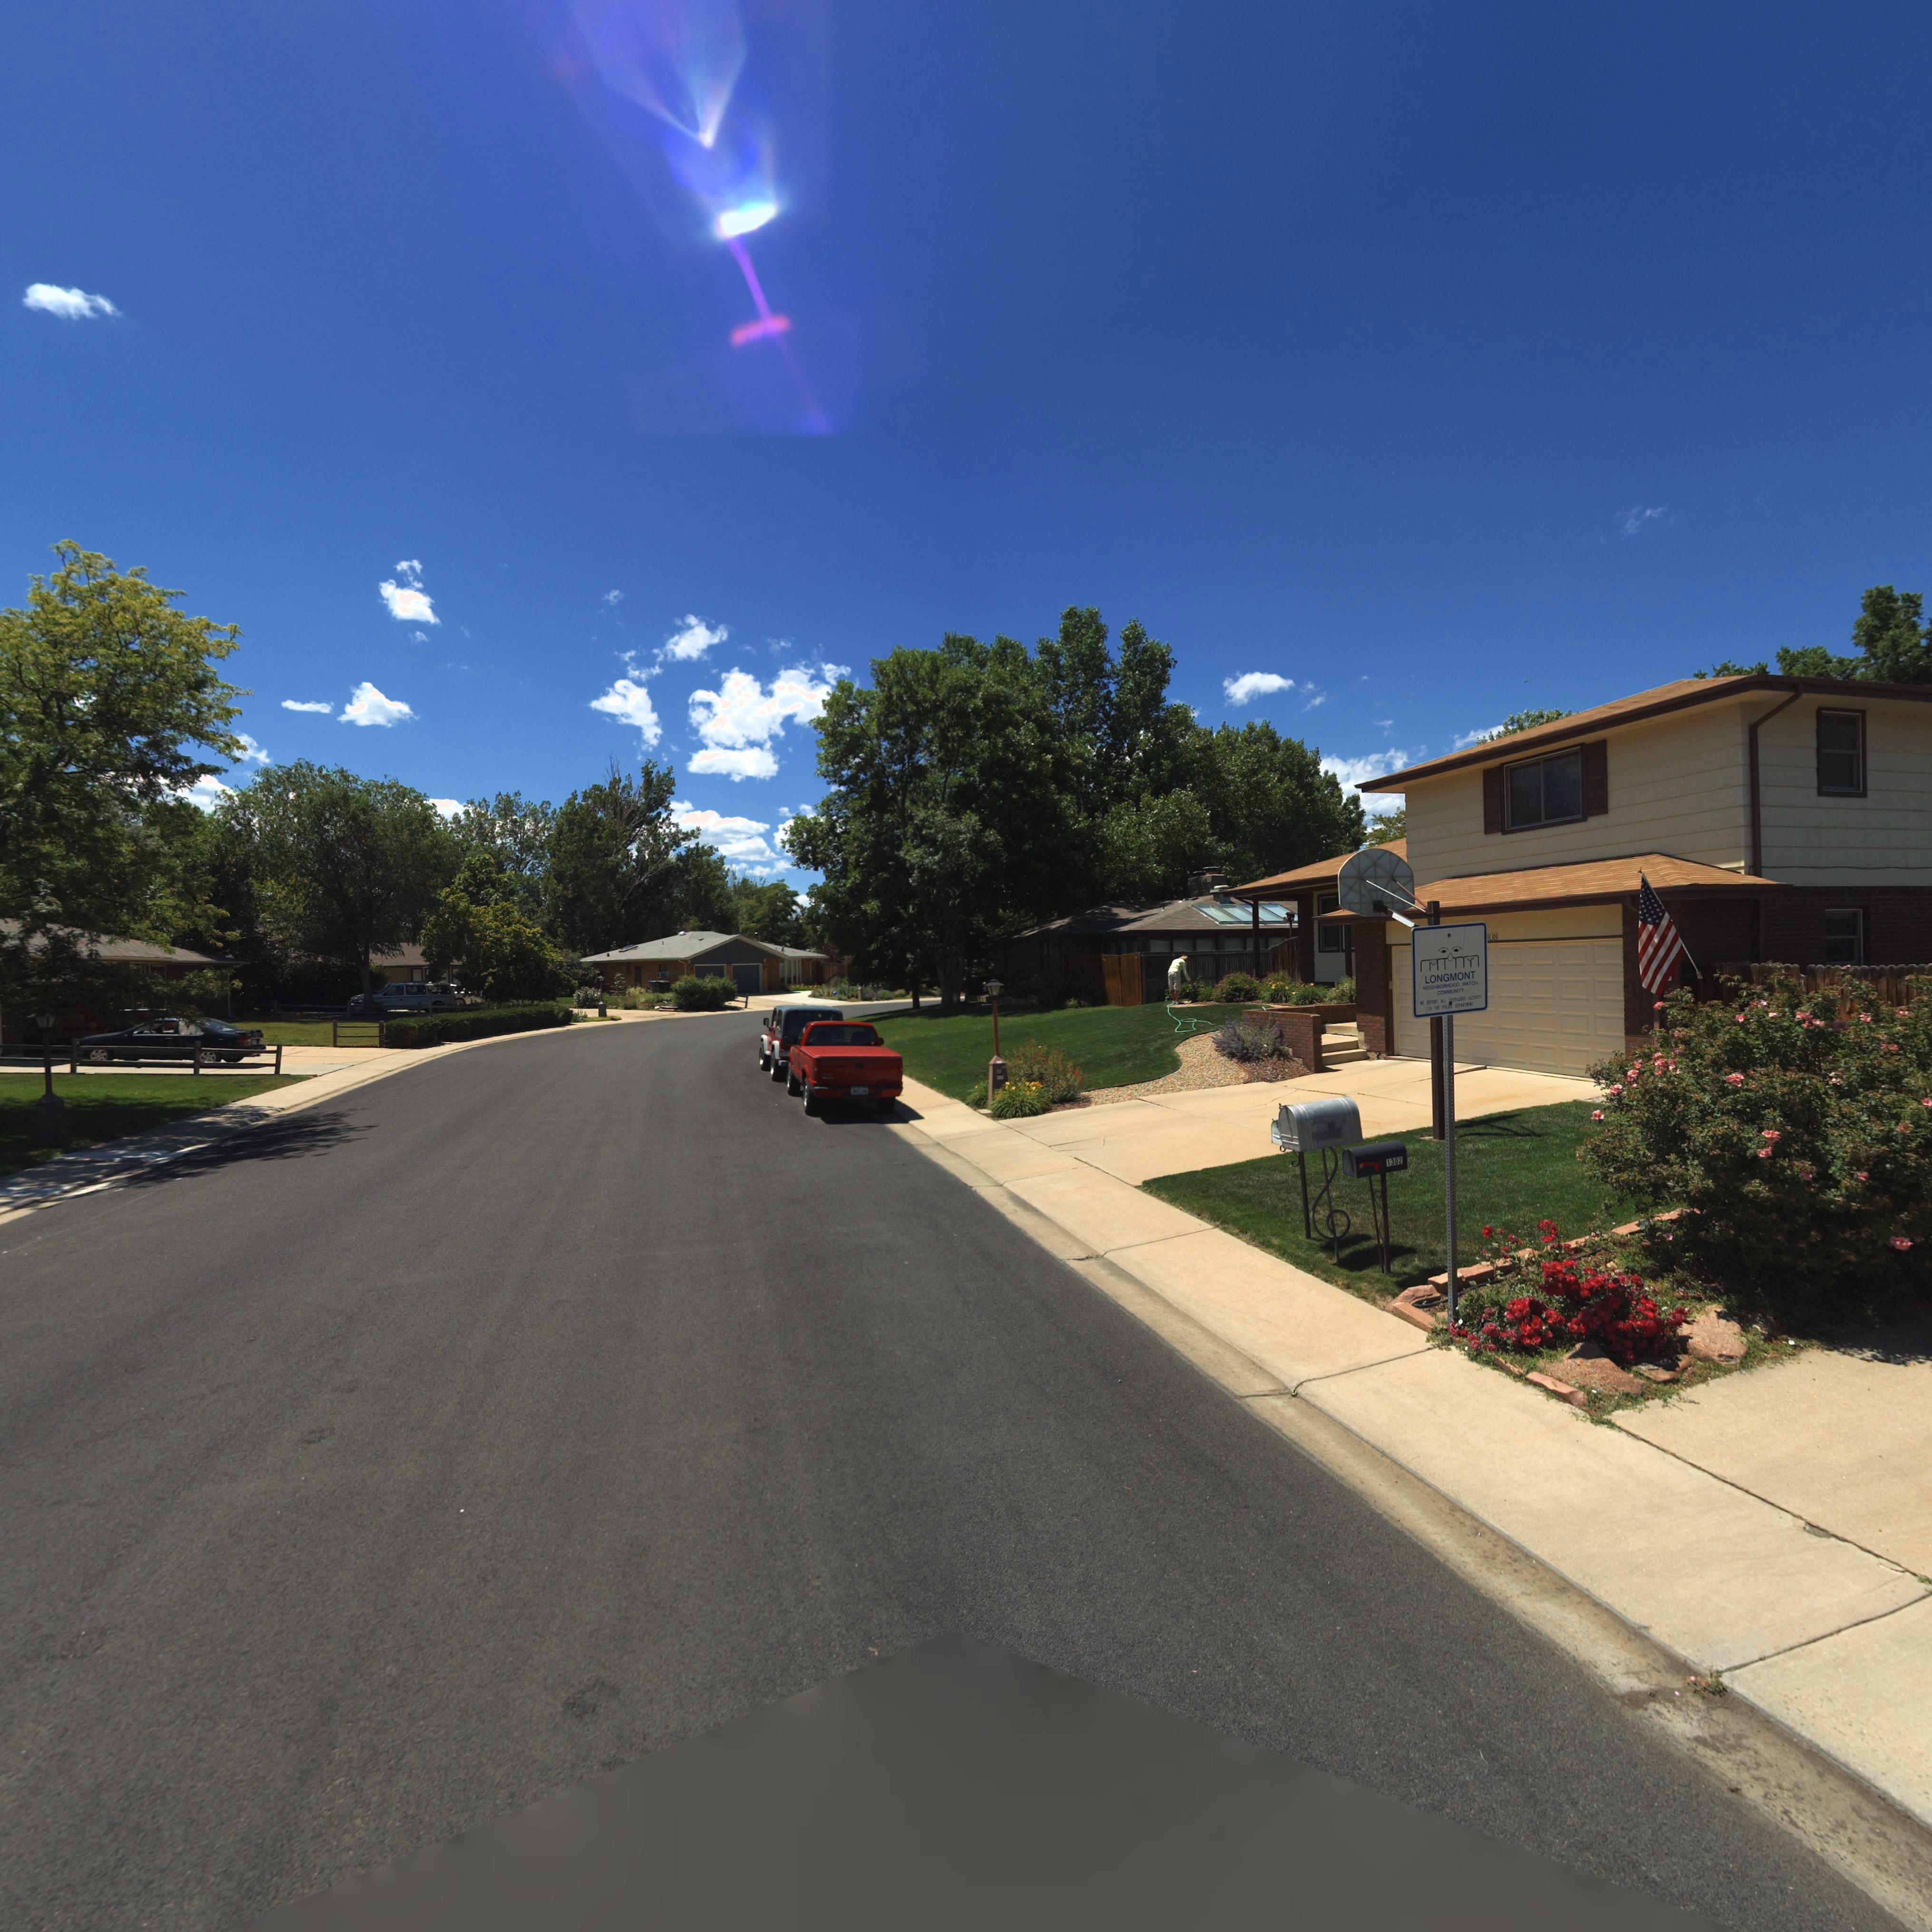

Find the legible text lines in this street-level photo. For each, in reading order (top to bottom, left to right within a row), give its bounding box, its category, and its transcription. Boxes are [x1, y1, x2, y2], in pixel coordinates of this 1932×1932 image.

[1487, 932, 1497, 941] StreetNumber: *08
[1387, 1157, 1402, 1166] StreetNumber: 1302